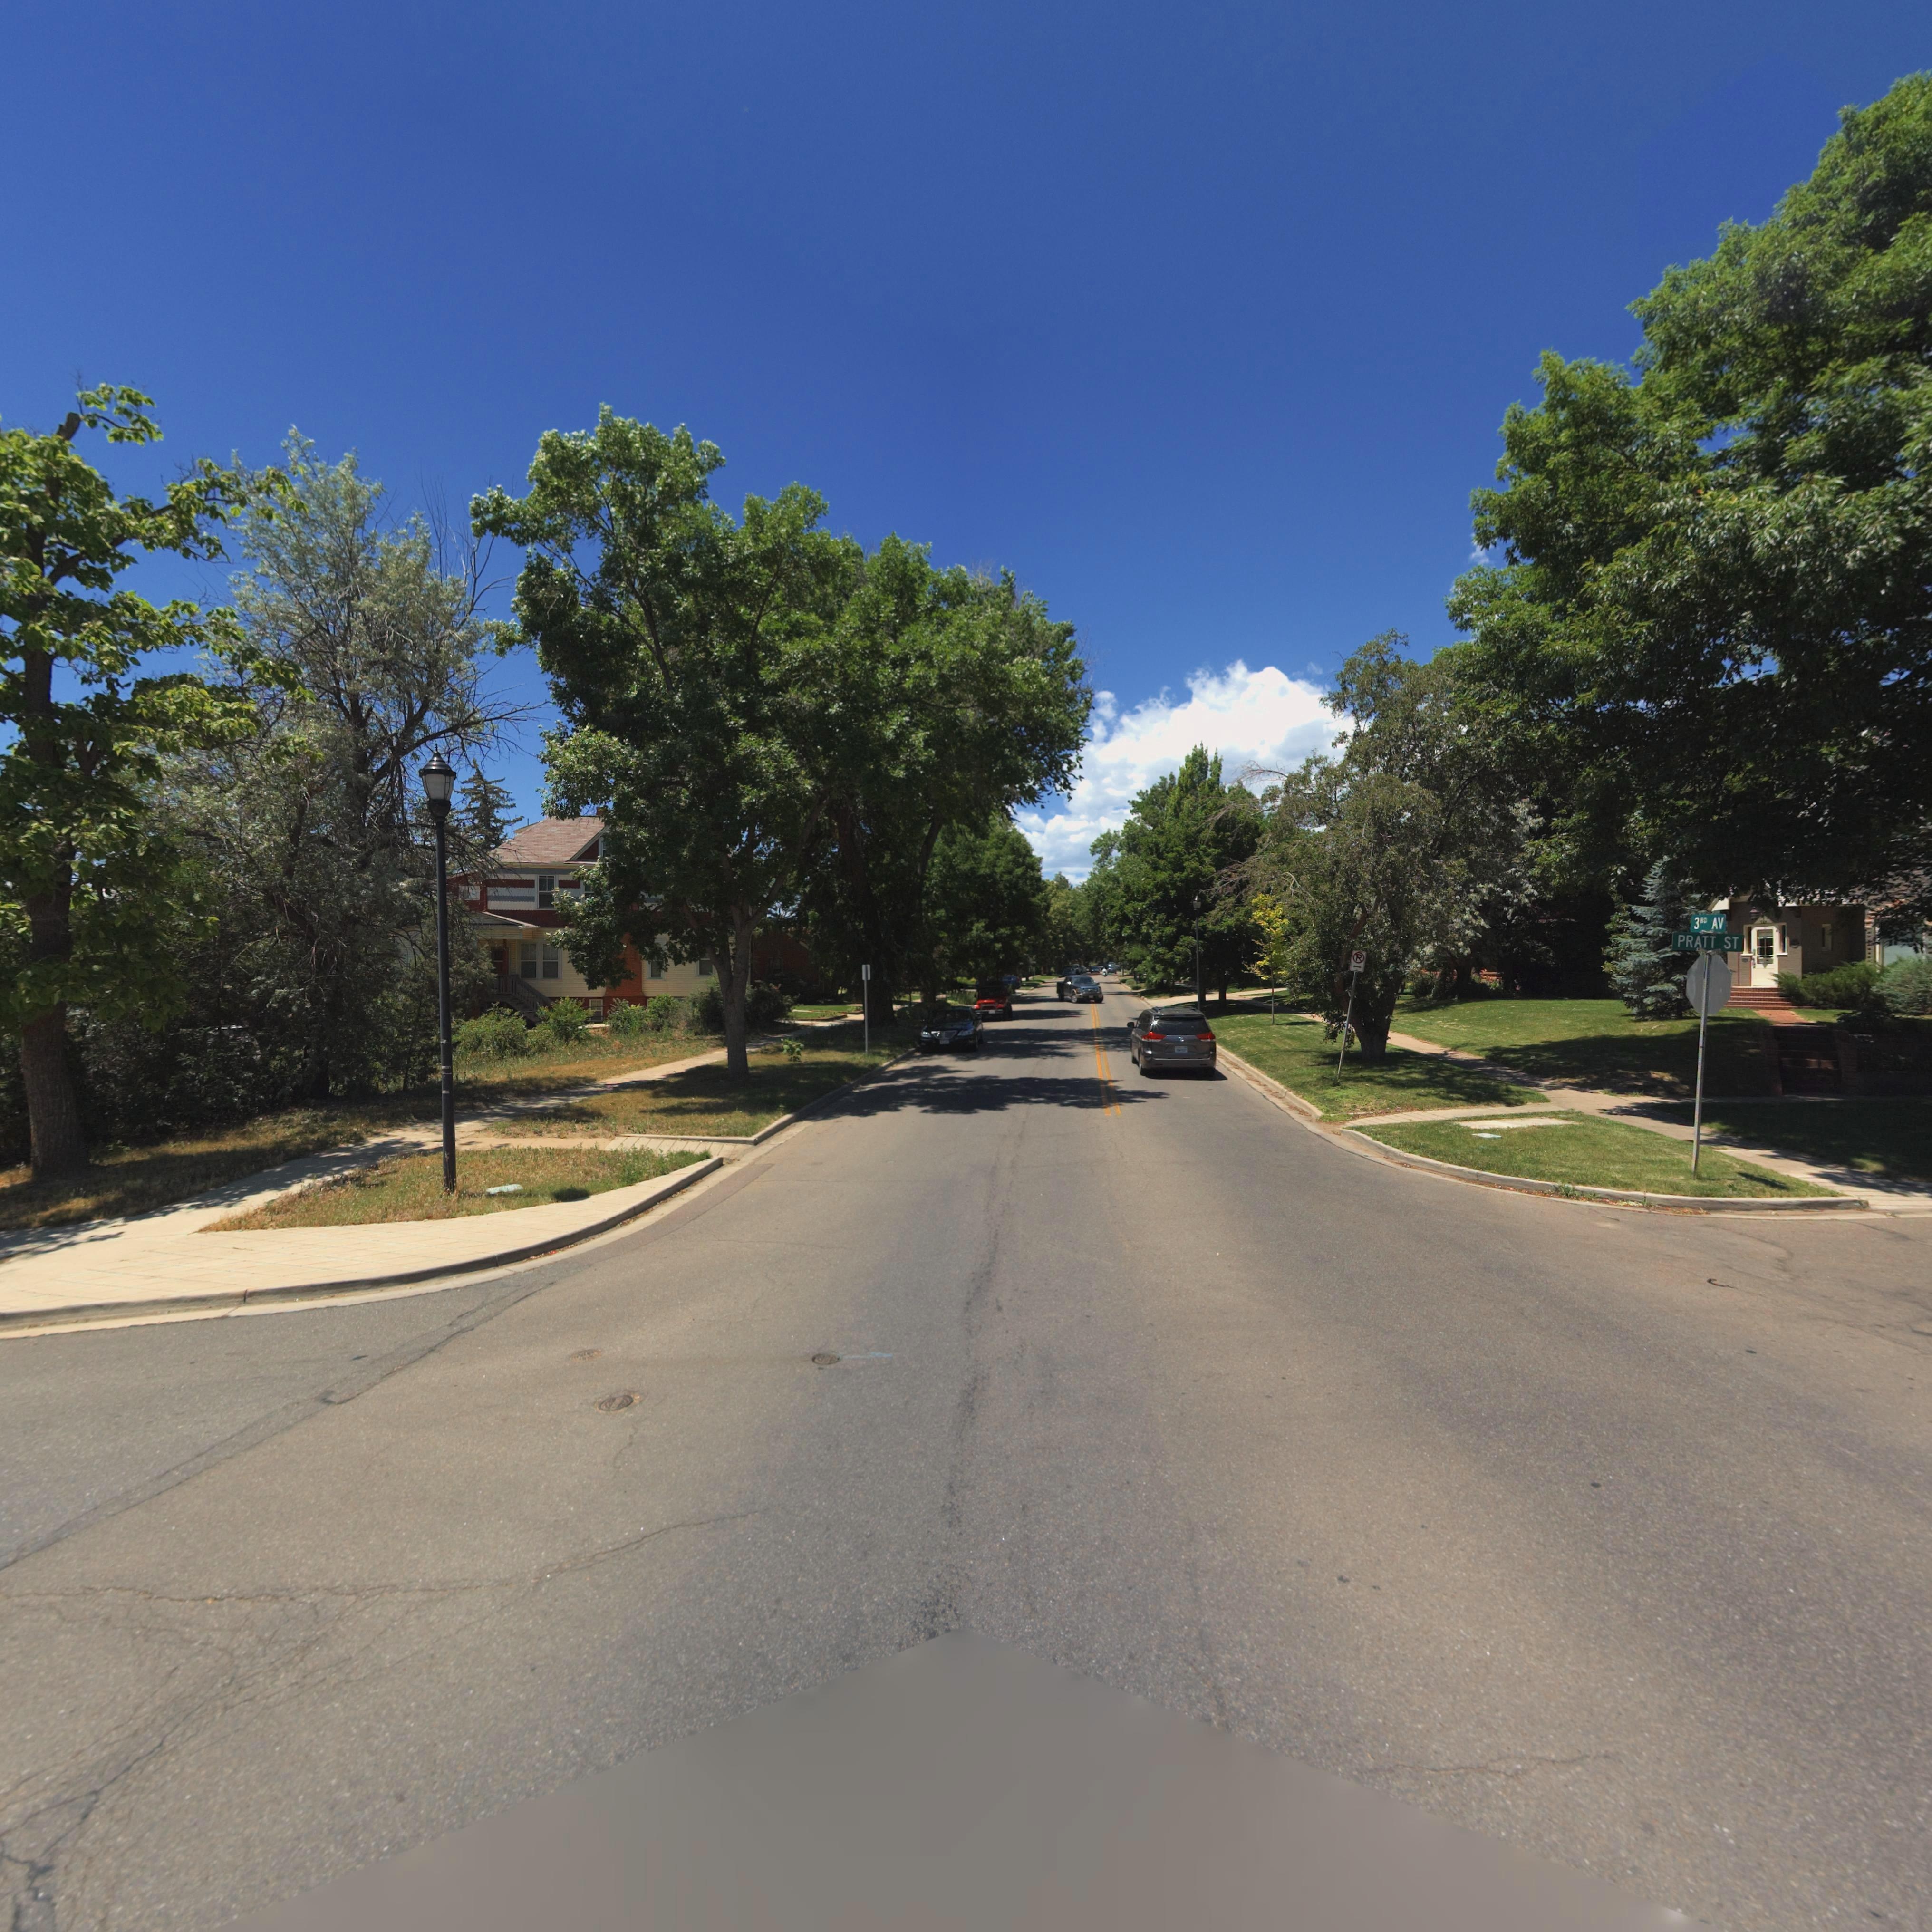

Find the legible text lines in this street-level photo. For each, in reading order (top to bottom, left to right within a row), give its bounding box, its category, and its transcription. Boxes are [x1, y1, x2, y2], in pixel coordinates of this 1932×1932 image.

[1693, 916, 1724, 929] StreetName: 3RD AV
[1678, 935, 1738, 949] StreetName: PRATT ST